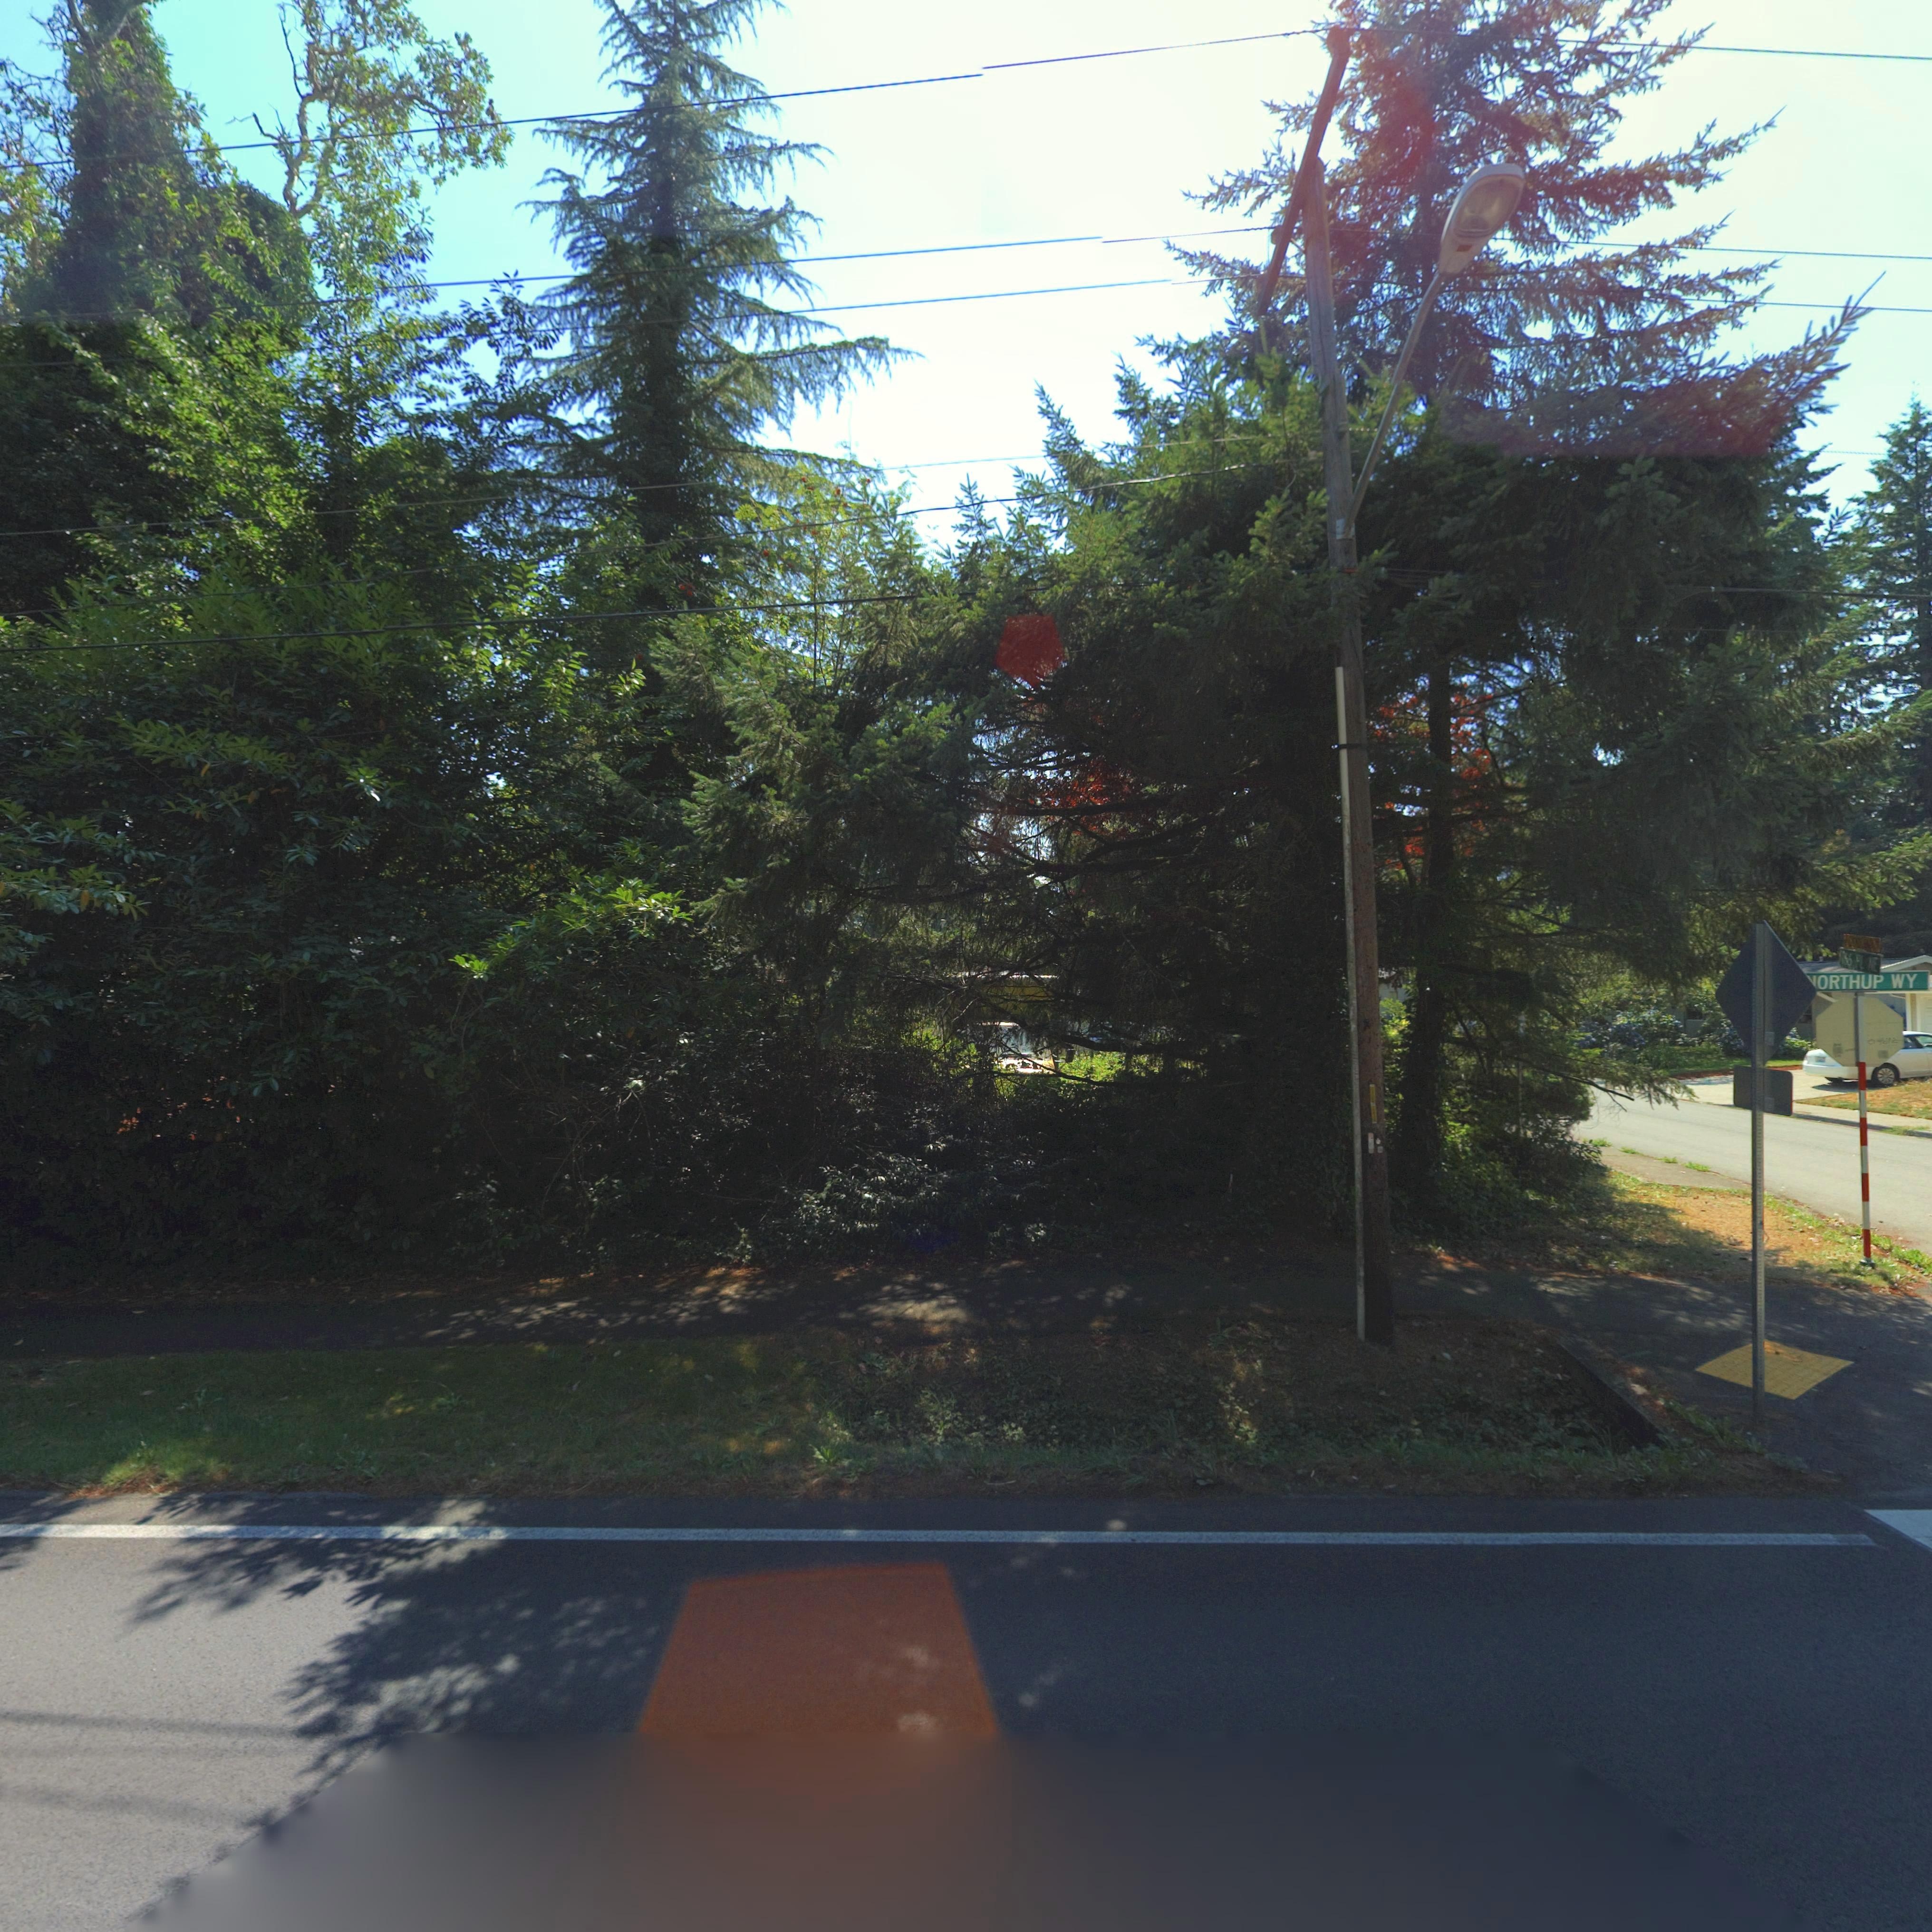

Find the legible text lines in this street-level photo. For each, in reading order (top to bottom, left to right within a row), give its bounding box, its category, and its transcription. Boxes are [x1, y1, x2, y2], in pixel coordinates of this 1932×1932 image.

[1839, 950, 1880, 973] StreetName: **6 PL NE
[1817, 974, 1917, 989] StreetName: ORTHUP WY